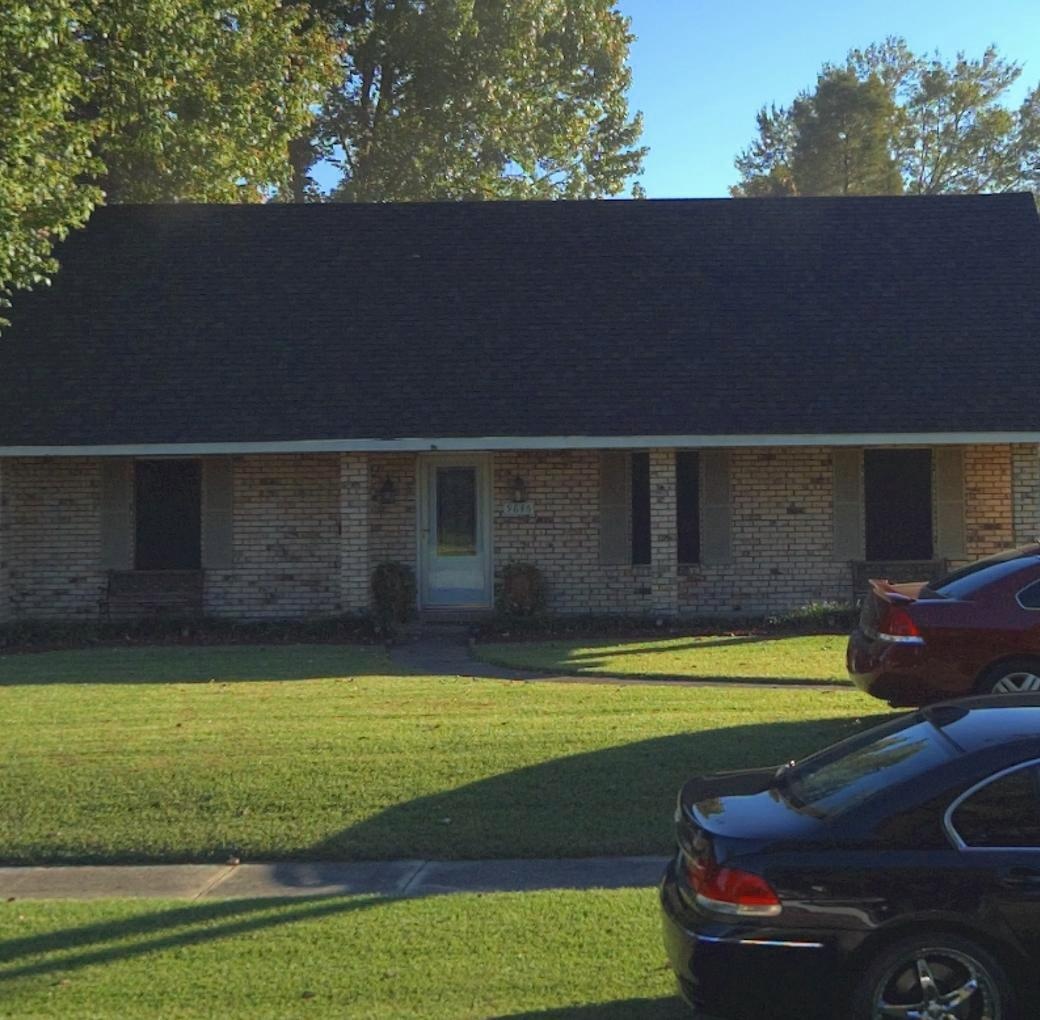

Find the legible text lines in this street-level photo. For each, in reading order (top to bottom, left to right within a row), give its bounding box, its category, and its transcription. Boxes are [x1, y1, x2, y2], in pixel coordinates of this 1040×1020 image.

[505, 503, 533, 514] StreetNumber: 9645